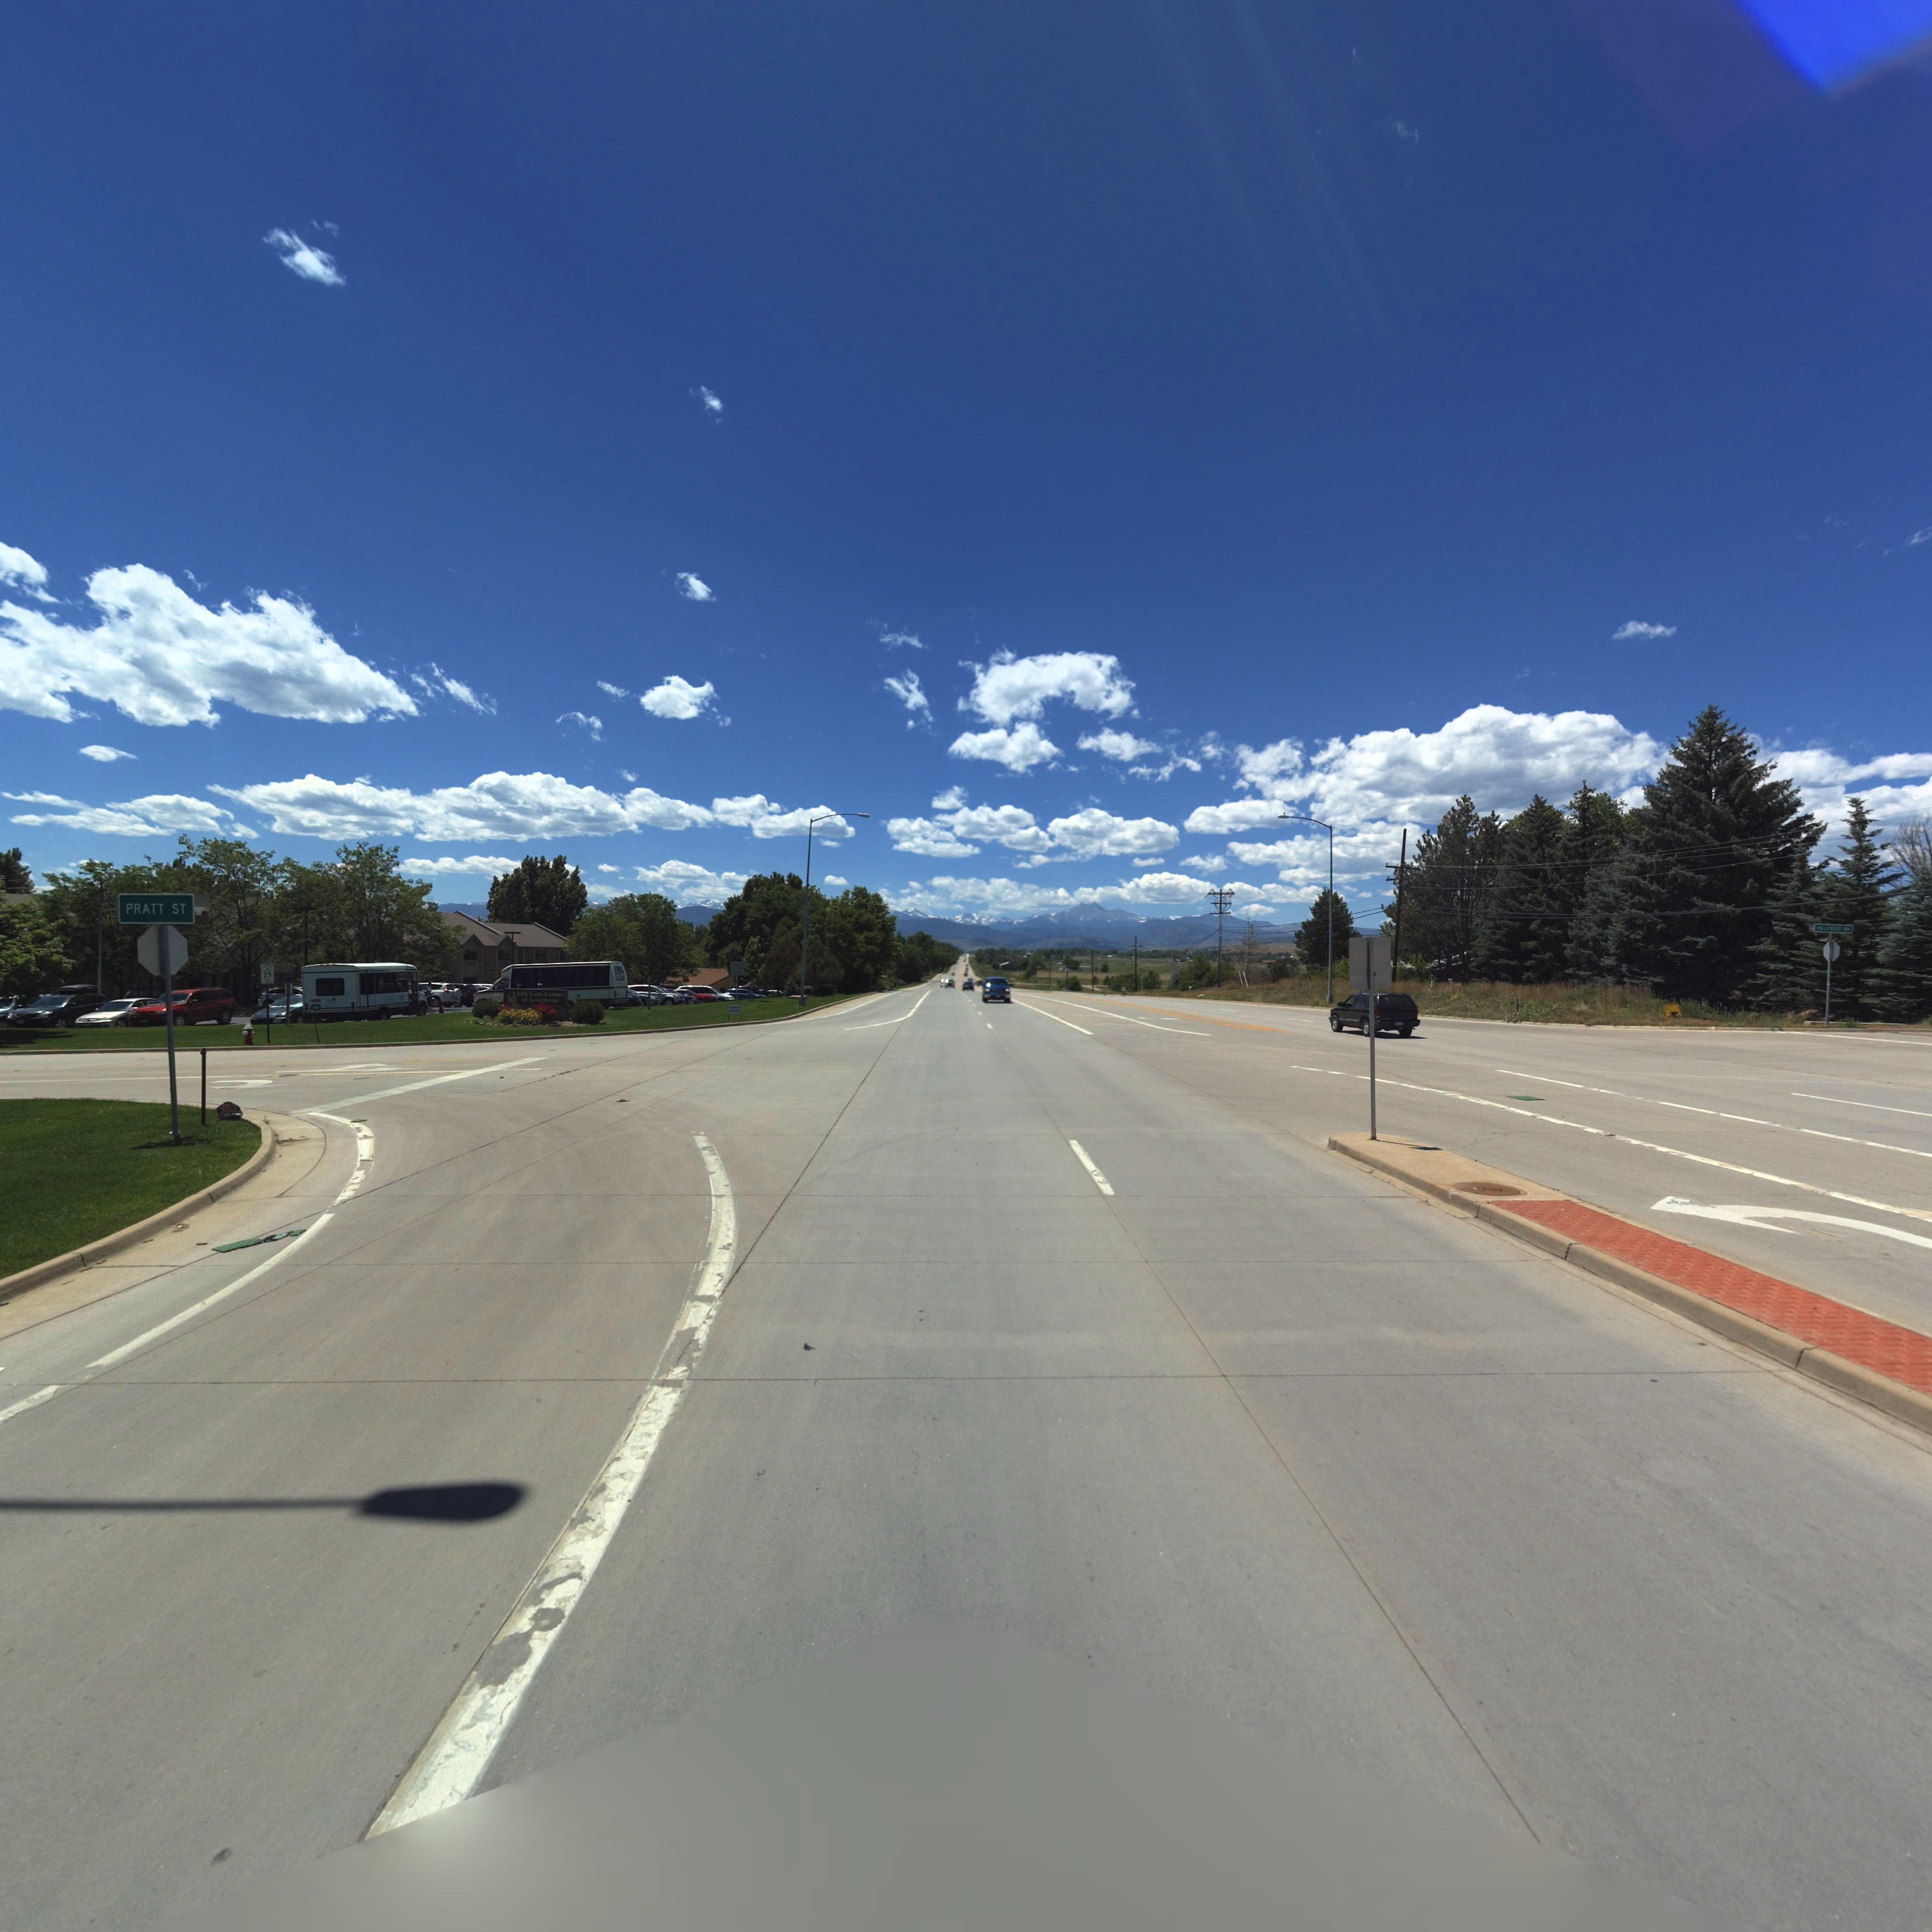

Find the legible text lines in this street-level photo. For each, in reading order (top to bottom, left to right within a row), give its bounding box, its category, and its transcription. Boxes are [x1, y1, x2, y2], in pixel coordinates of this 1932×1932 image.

[126, 902, 187, 914] BusinessName: PRATT ST
[1816, 926, 1850, 931] StreetName: HILLCREST DR
[517, 990, 565, 997] BusinessName: Life Care Center
[521, 996, 559, 1005] BusinessName: of Longmont
[554, 1008, 564, 1013] StreetNumber: *51